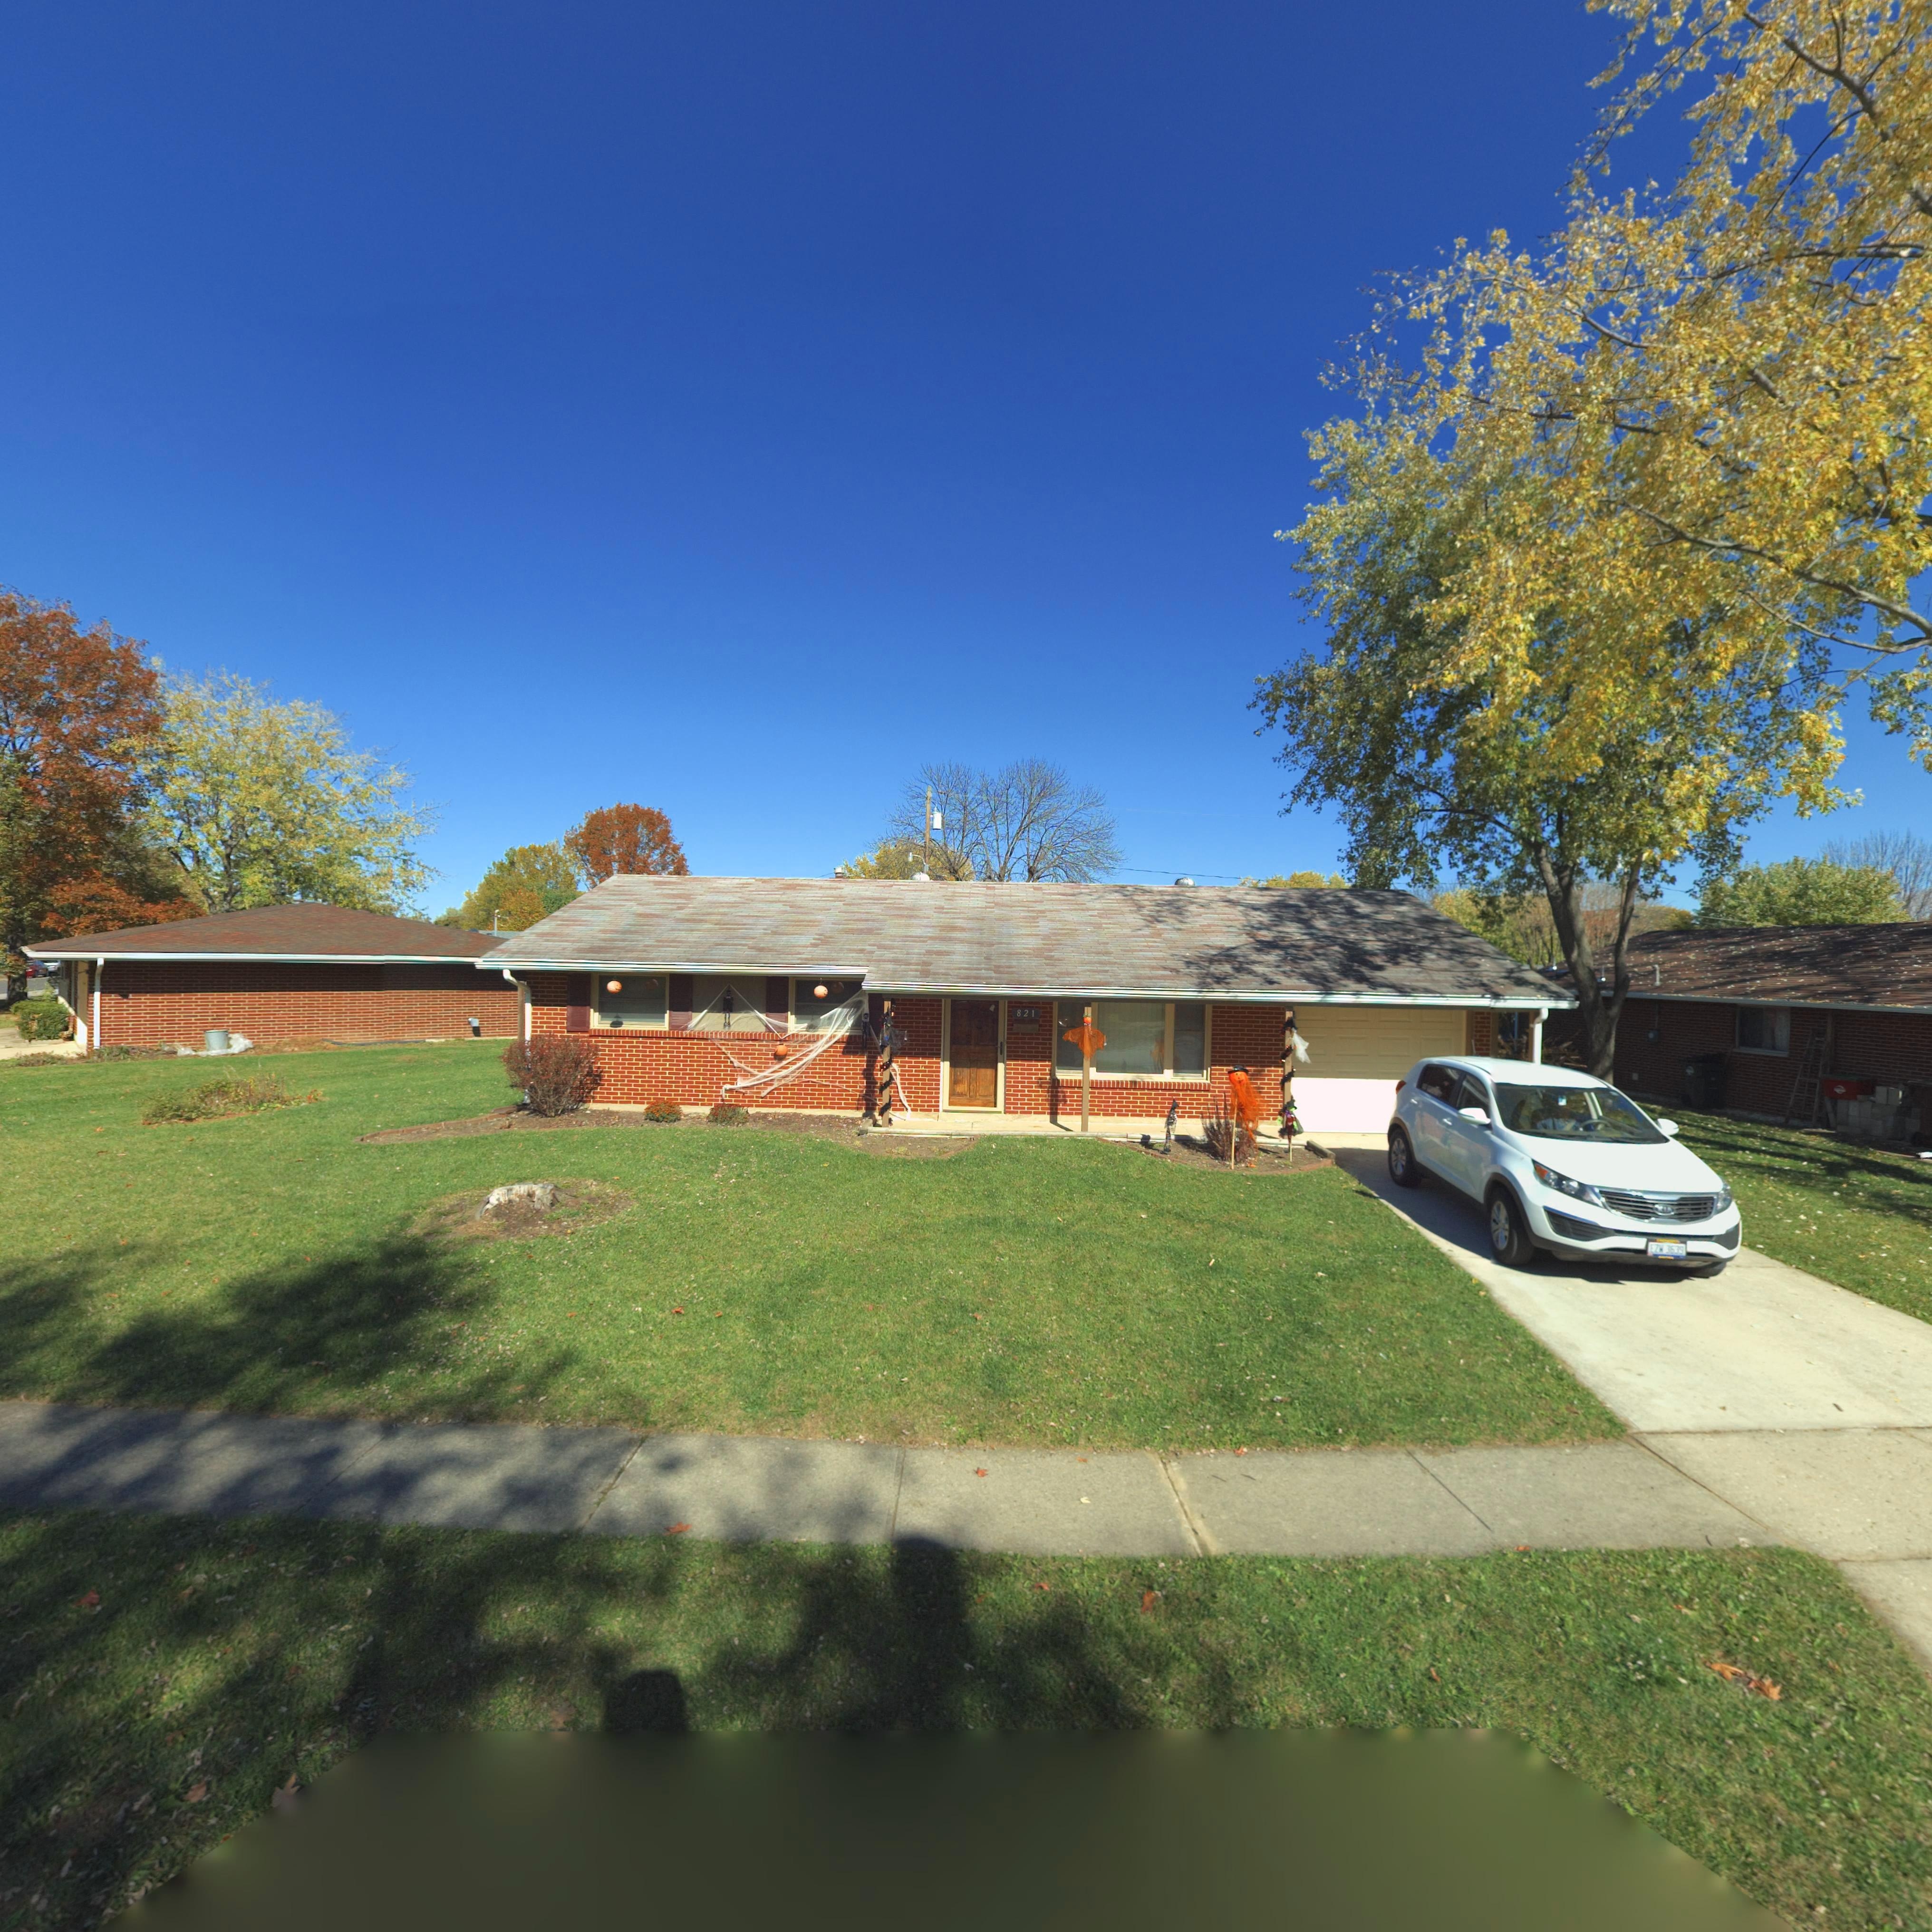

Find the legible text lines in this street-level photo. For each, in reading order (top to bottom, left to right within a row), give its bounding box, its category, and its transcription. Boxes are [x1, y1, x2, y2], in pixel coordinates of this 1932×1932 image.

[1016, 1009, 1035, 1018] StreetNumber: 821